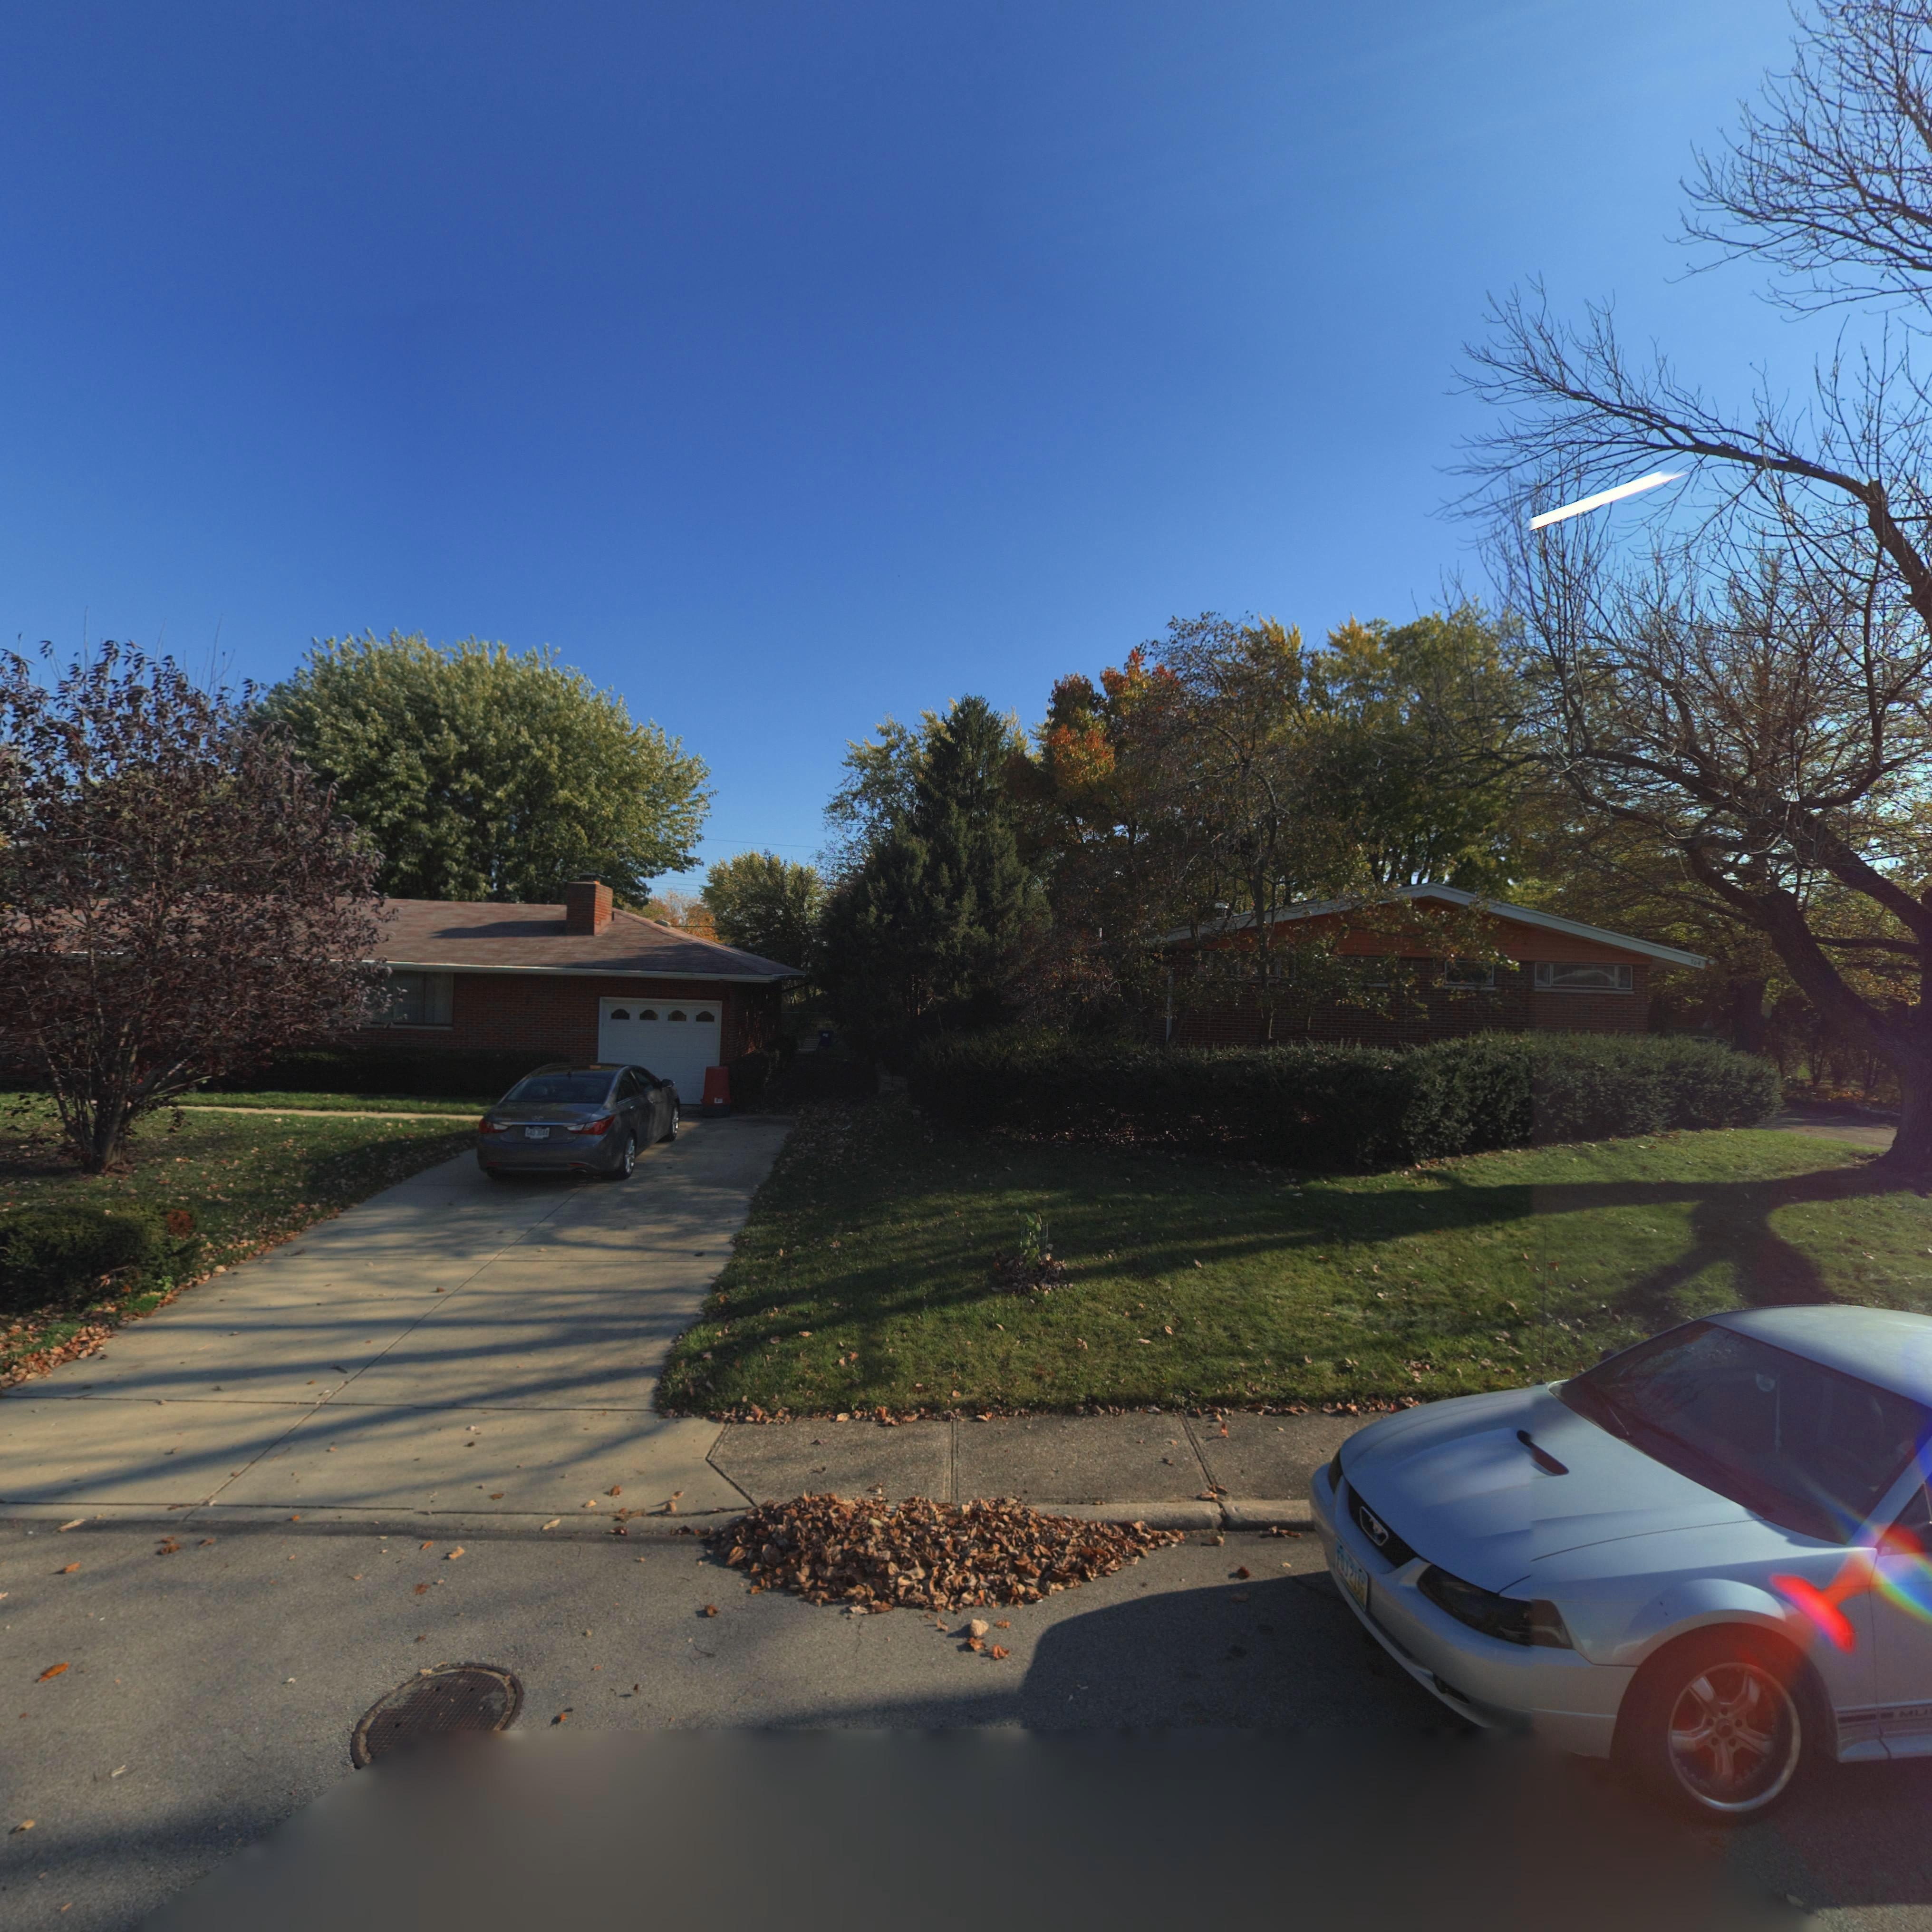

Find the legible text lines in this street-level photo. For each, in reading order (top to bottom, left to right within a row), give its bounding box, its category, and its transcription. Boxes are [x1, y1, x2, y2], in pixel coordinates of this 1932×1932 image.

[1690, 957, 1702, 968] StreetNumber: 704